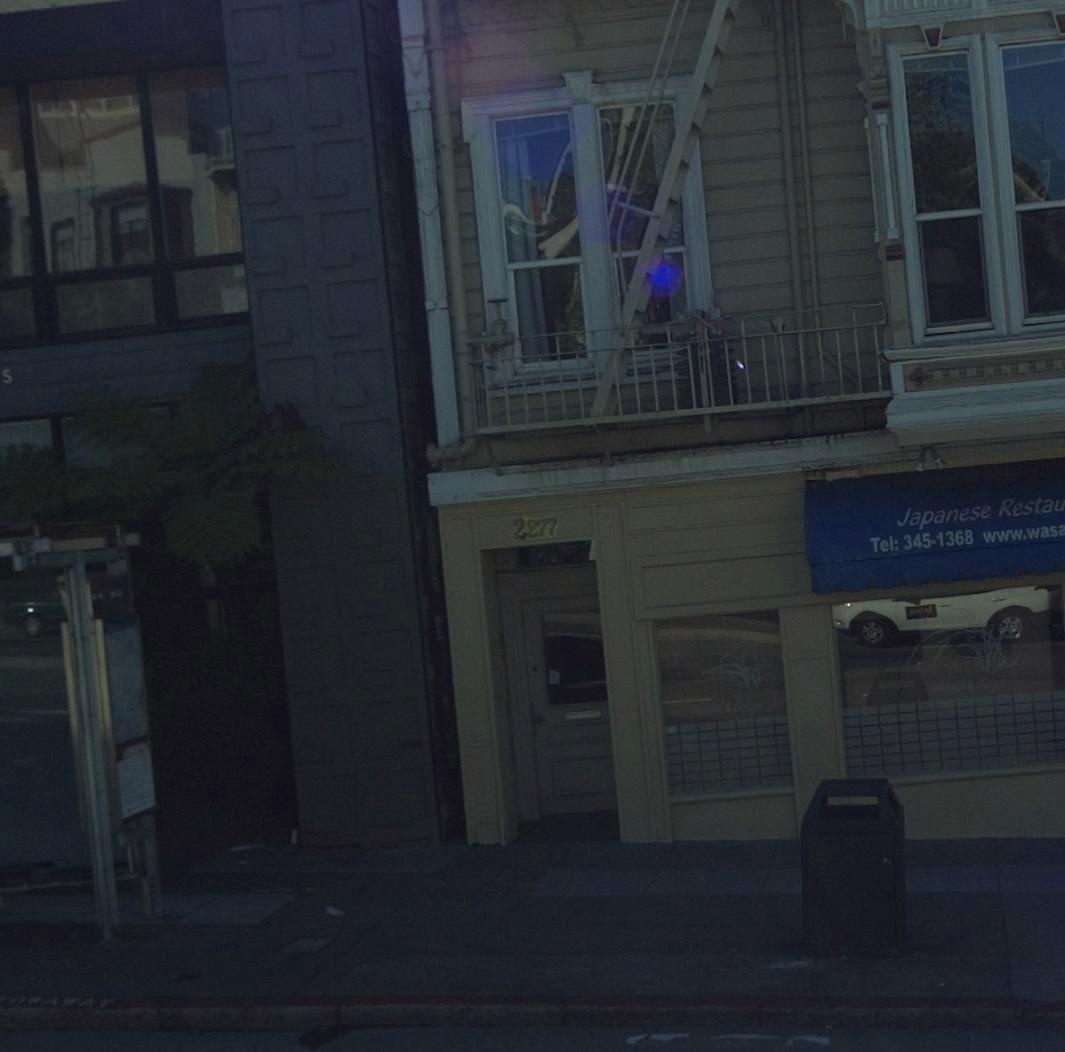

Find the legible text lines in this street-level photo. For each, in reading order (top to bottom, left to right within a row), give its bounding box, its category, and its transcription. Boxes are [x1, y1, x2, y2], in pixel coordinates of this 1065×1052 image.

[510, 515, 560, 541] StreetNumber: 2277
[869, 522, 1060, 555] None: Tel: 345-1368 www.was
[894, 494, 1055, 531] None: Japanese Resta